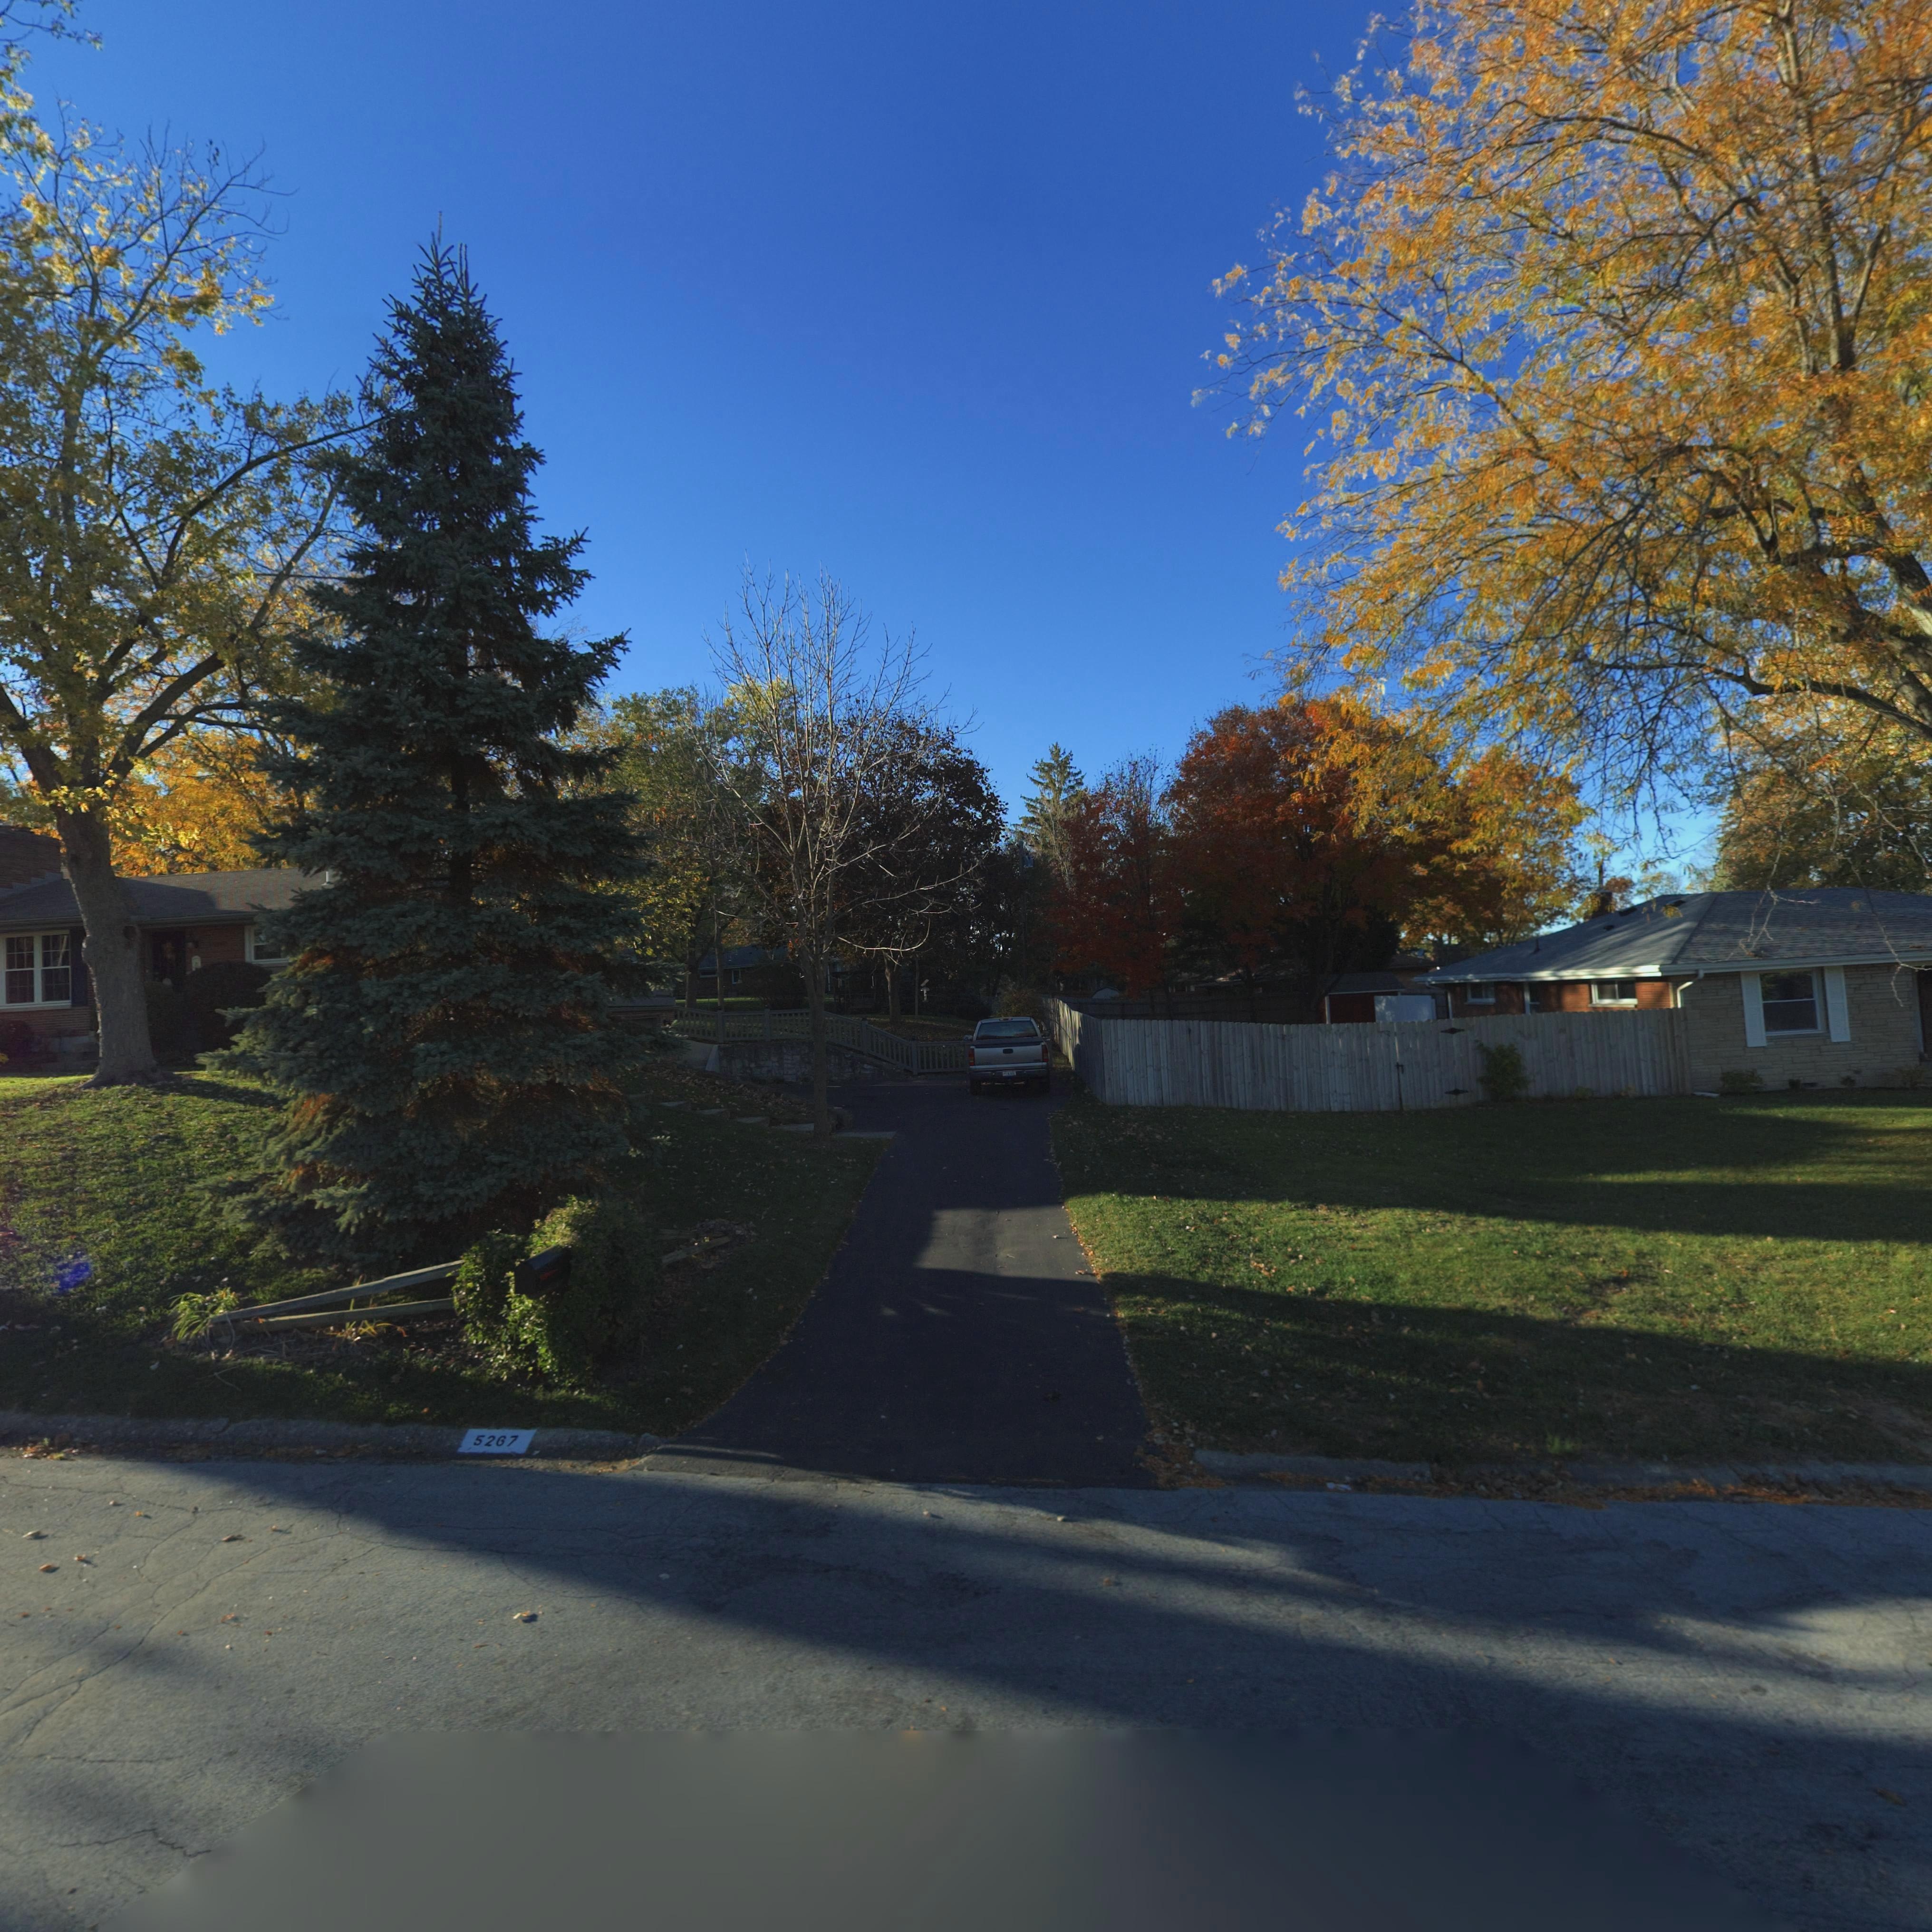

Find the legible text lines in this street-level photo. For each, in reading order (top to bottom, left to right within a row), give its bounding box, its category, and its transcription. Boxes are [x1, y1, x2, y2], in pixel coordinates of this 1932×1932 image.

[472, 1433, 520, 1449] StreetNumber: 5267